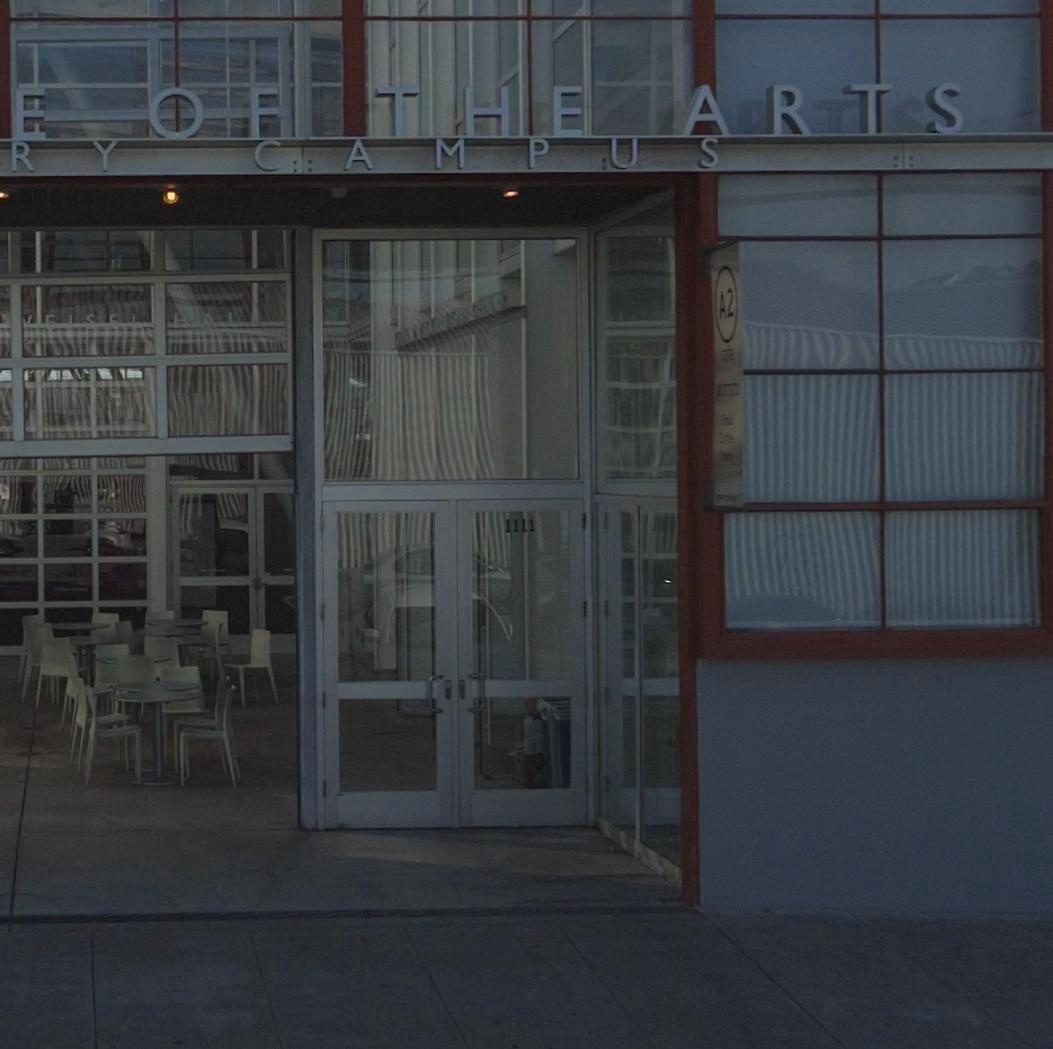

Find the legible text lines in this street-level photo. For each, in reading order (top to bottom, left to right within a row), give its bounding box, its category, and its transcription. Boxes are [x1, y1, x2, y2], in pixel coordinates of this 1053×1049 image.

[11, 83, 966, 140] BusinessName: E OF THE ARTS
[8, 136, 720, 173] None: RY CAMPUS
[717, 287, 735, 321] None: A2
[504, 517, 536, 534] StreetNumber: 1111